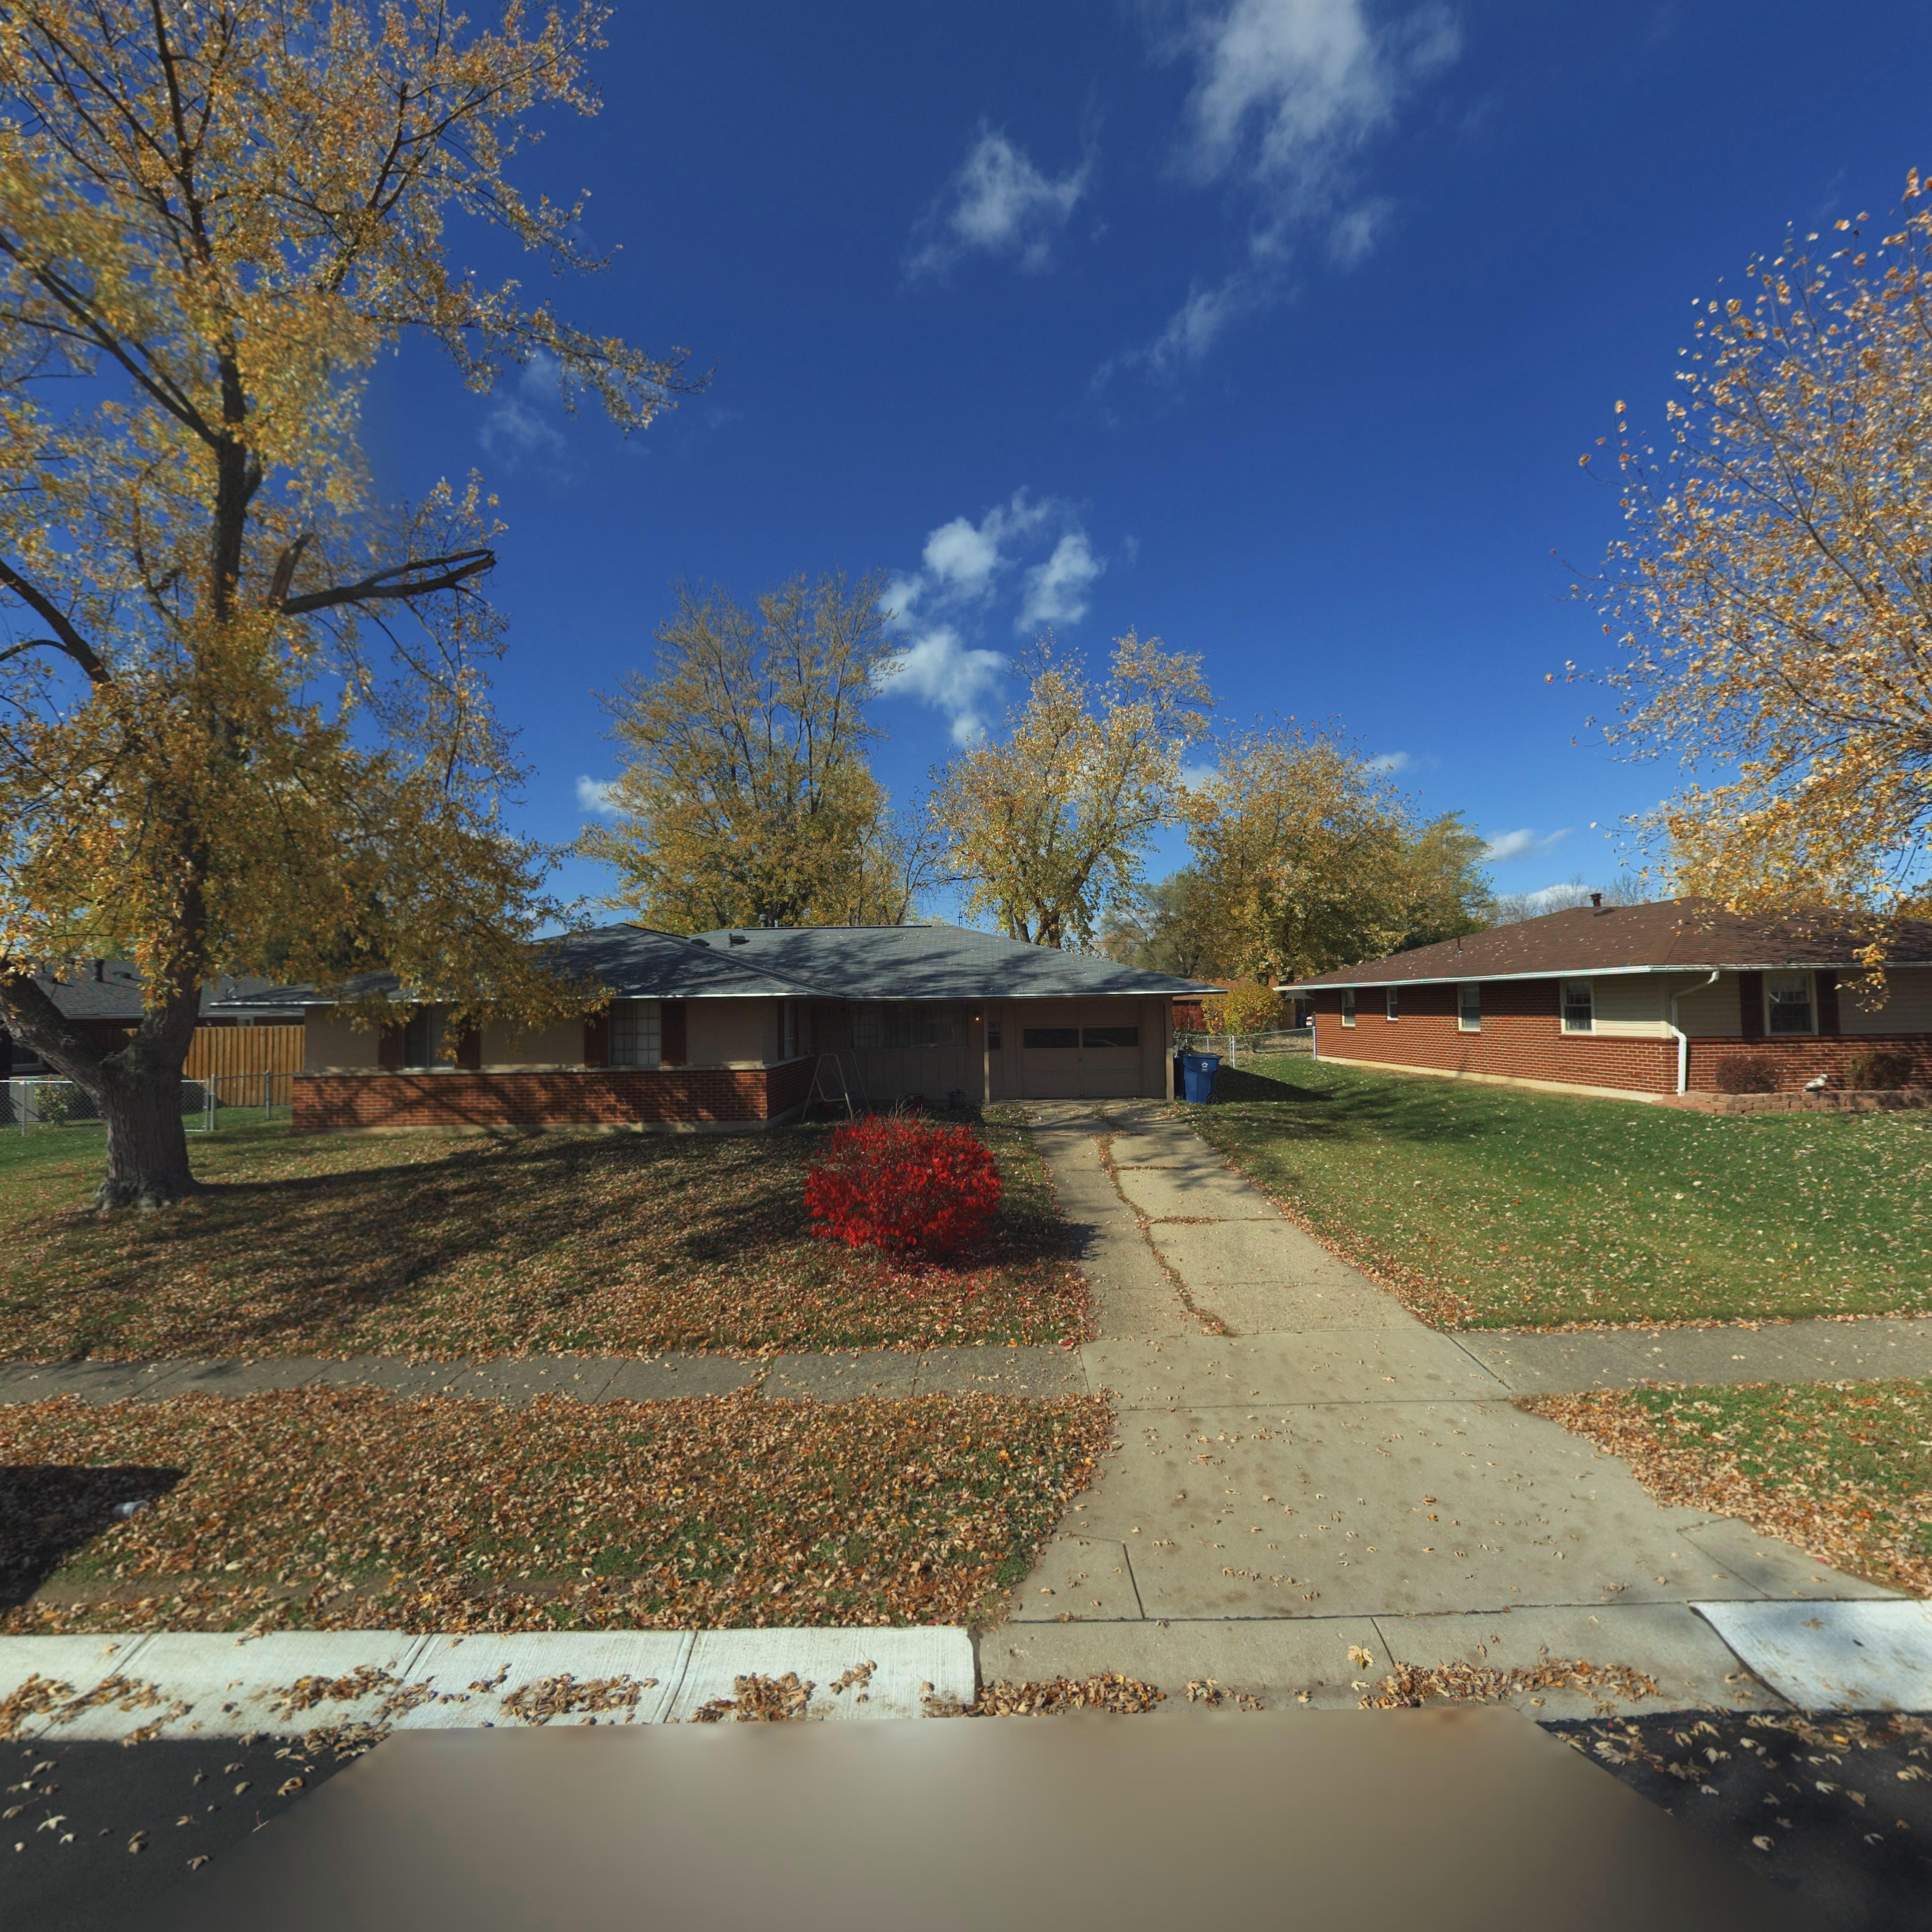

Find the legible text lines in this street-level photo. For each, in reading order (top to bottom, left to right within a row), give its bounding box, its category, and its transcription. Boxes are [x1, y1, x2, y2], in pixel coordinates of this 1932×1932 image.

[987, 1022, 1002, 1028] StreetNumber: 7807